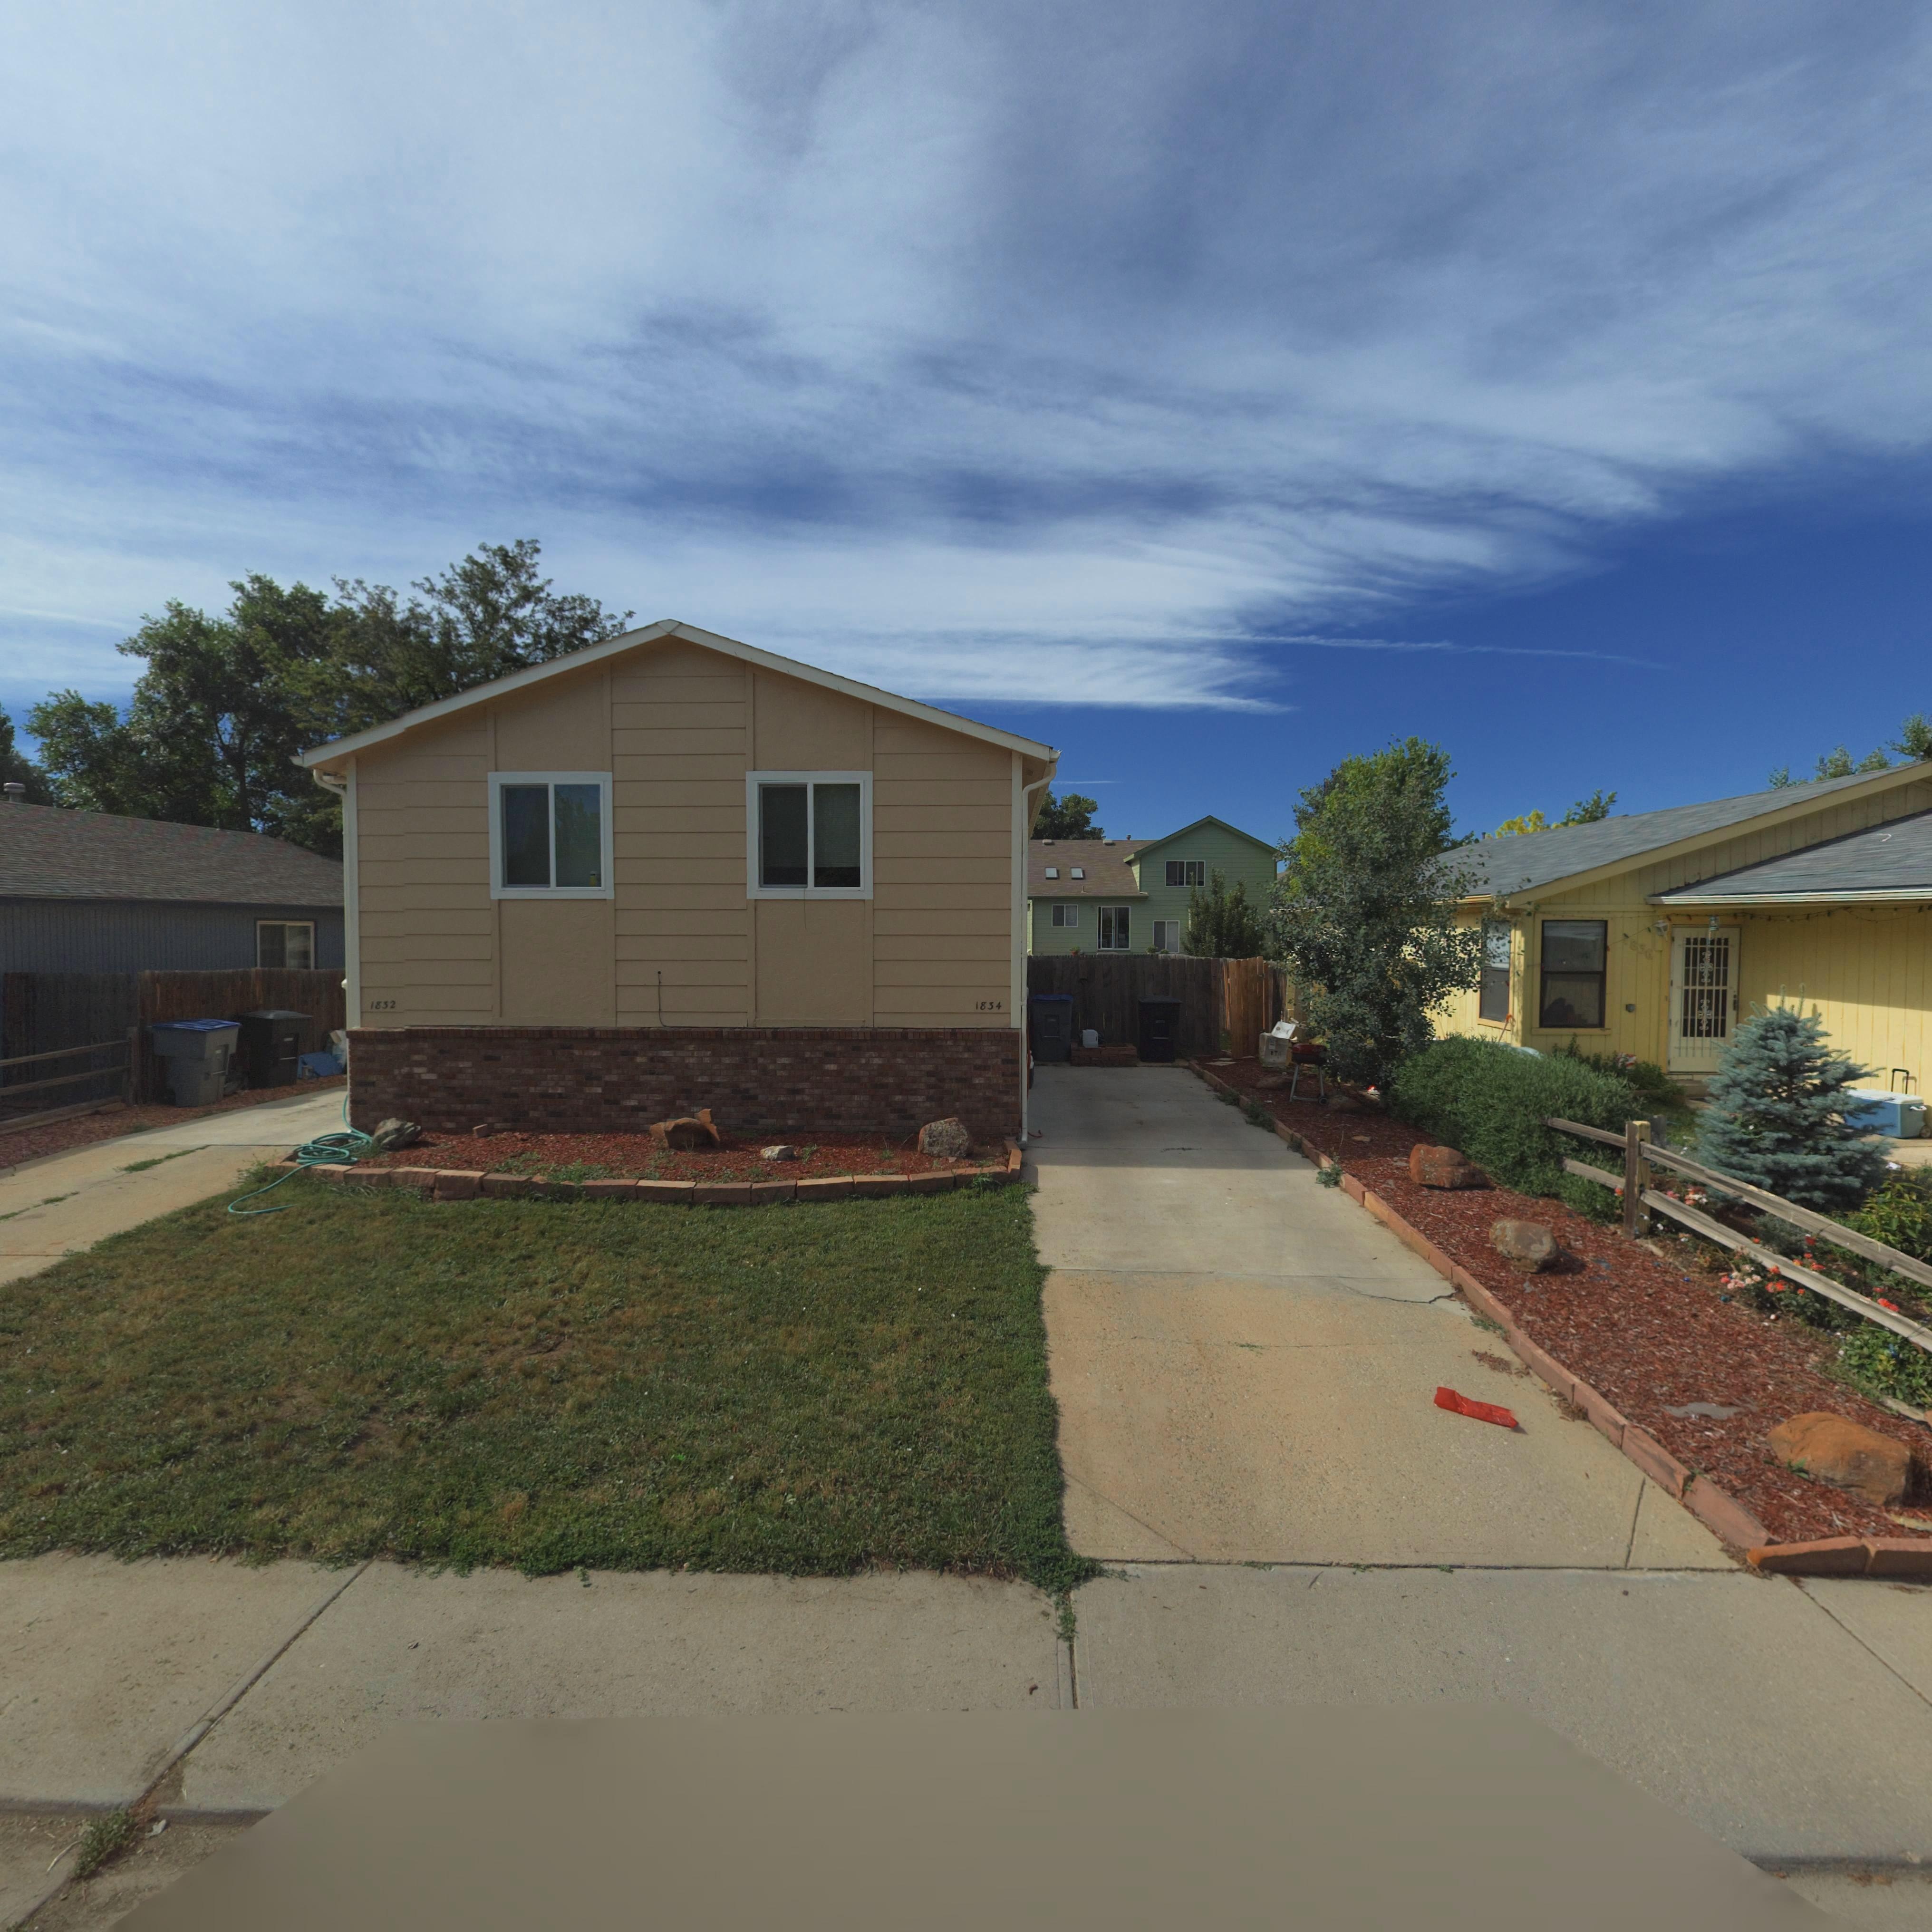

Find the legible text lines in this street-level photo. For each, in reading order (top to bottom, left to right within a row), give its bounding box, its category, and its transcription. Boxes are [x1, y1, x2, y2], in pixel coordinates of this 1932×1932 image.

[1623, 933, 1655, 961] StreetNumber: 1836
[370, 1000, 396, 1010] StreetNumber: 1832
[976, 1001, 1002, 1010] StreetNumber: 1834